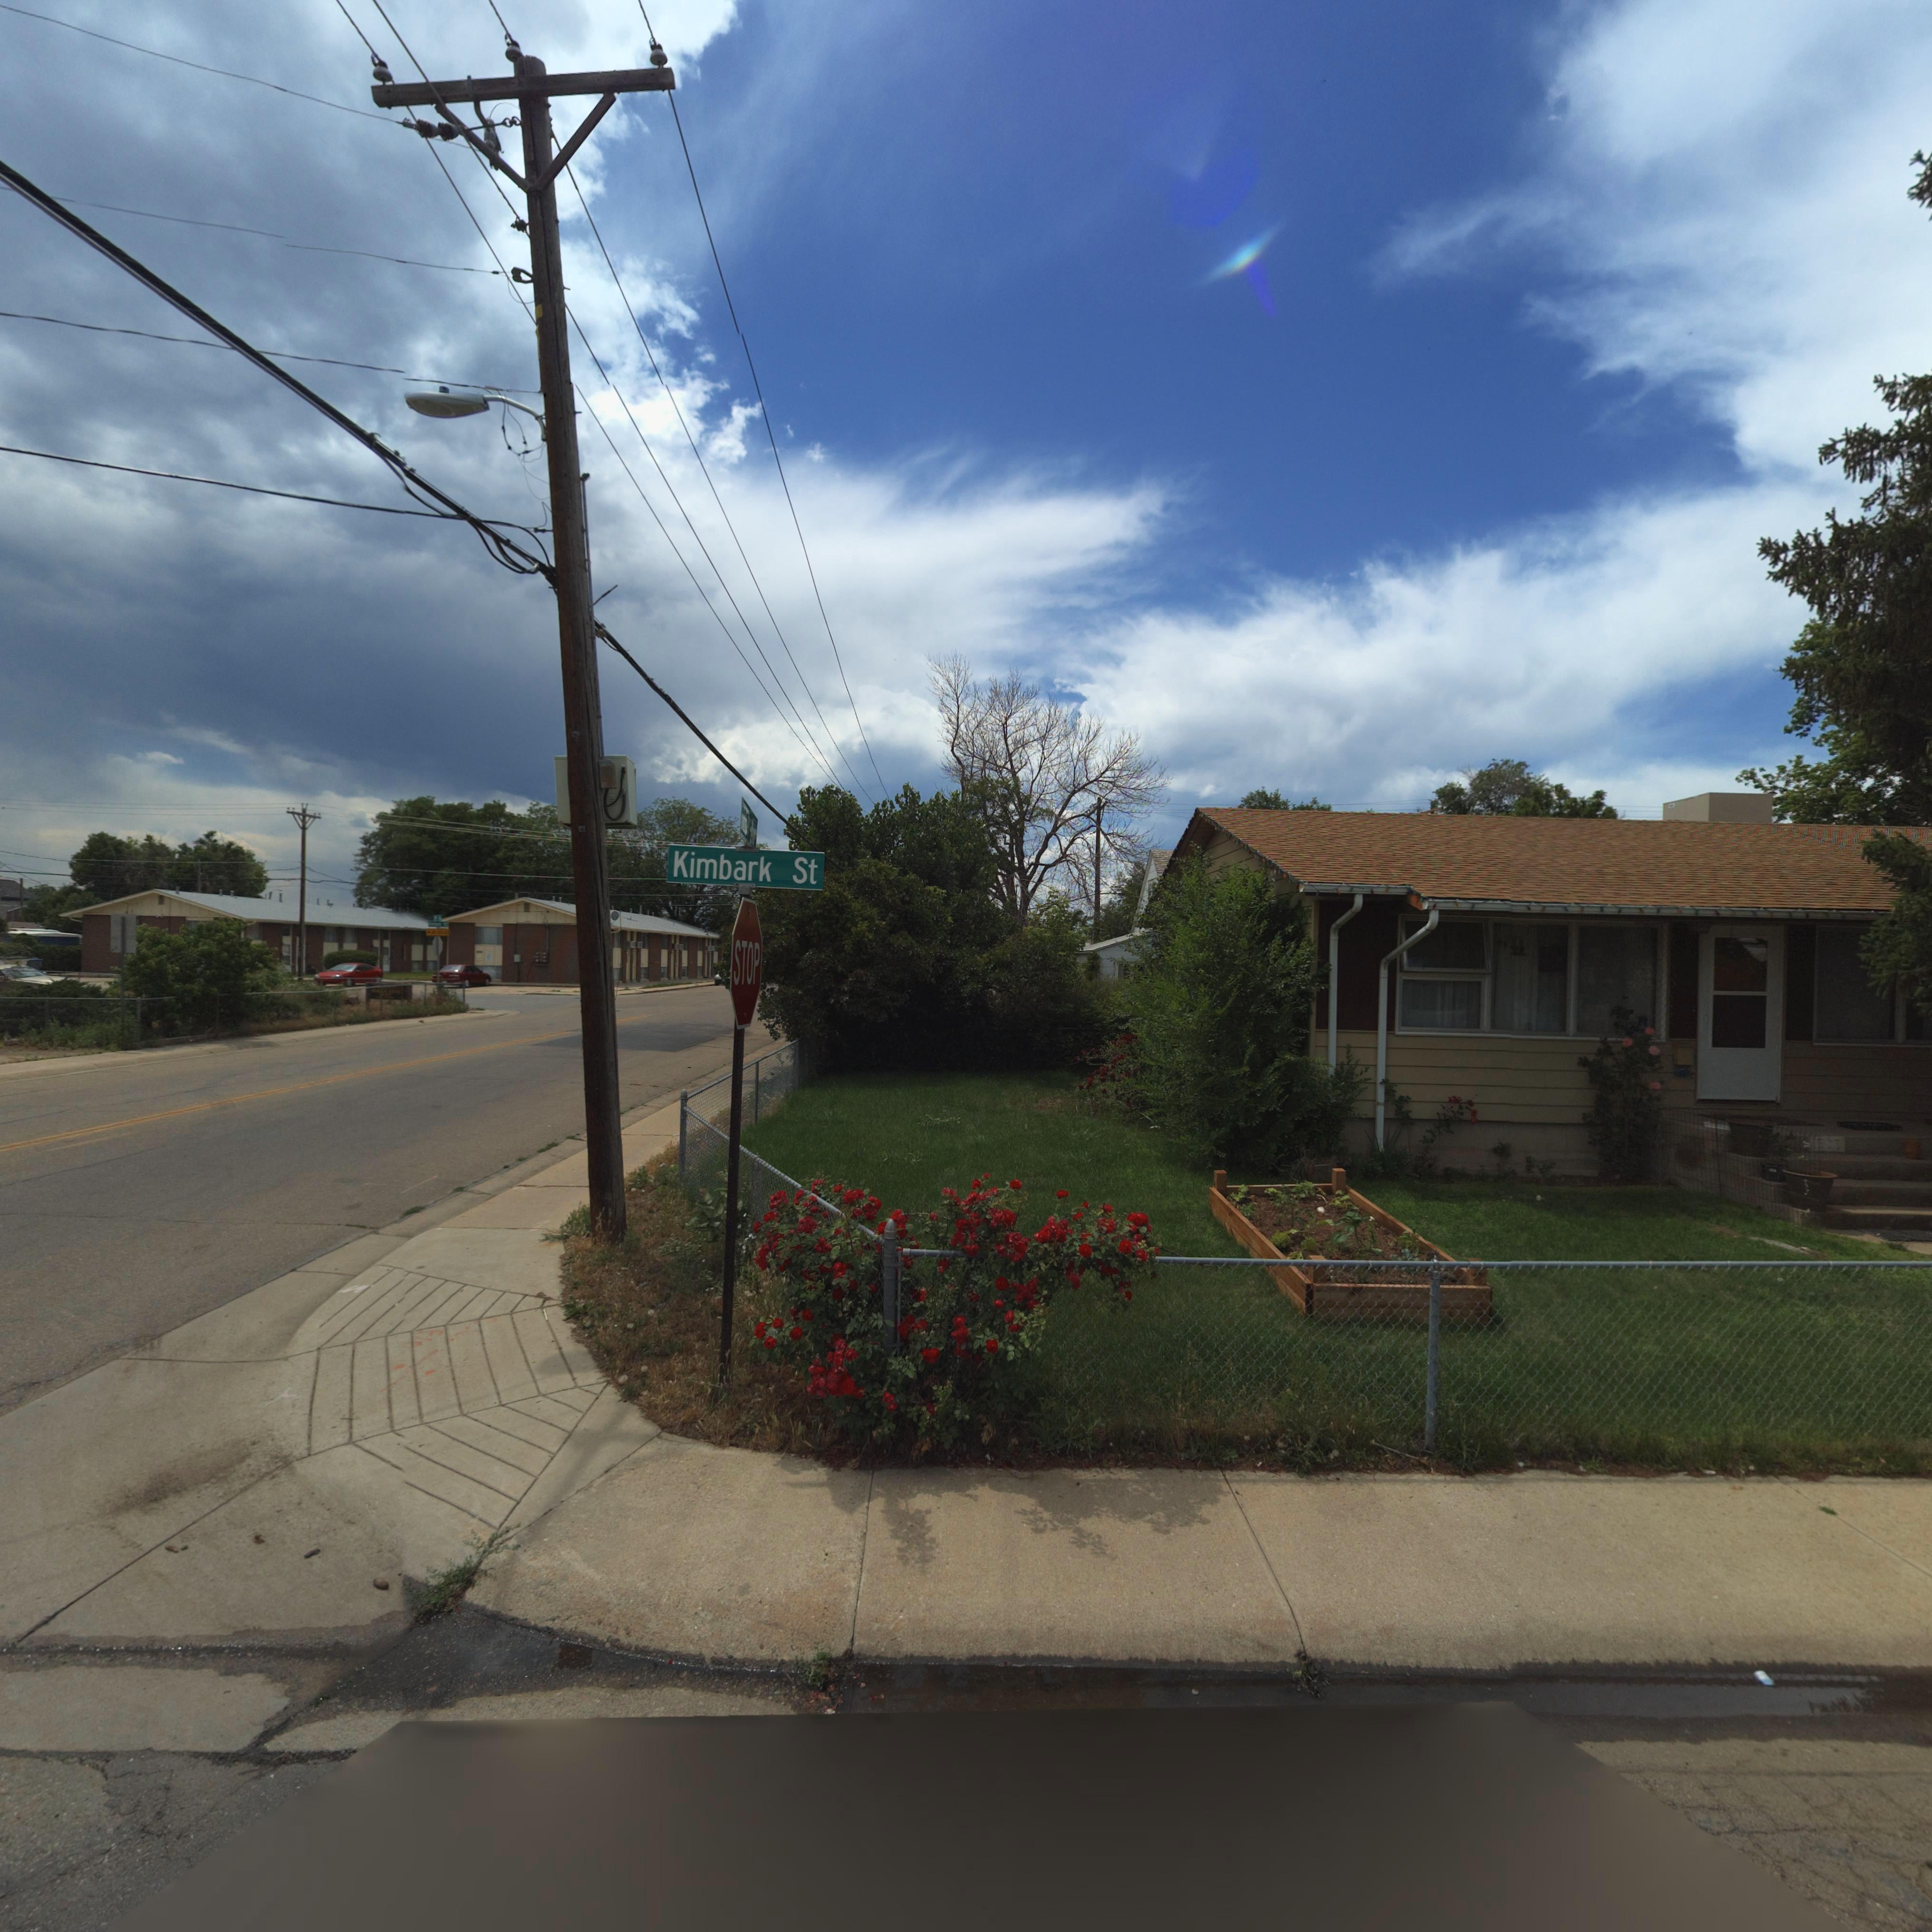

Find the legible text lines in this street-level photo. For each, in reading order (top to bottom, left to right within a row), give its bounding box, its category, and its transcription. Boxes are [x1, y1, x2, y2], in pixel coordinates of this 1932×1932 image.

[739, 800, 757, 847] StreetName: ***** A**
[671, 849, 819, 886] StreetName: Kimbark St